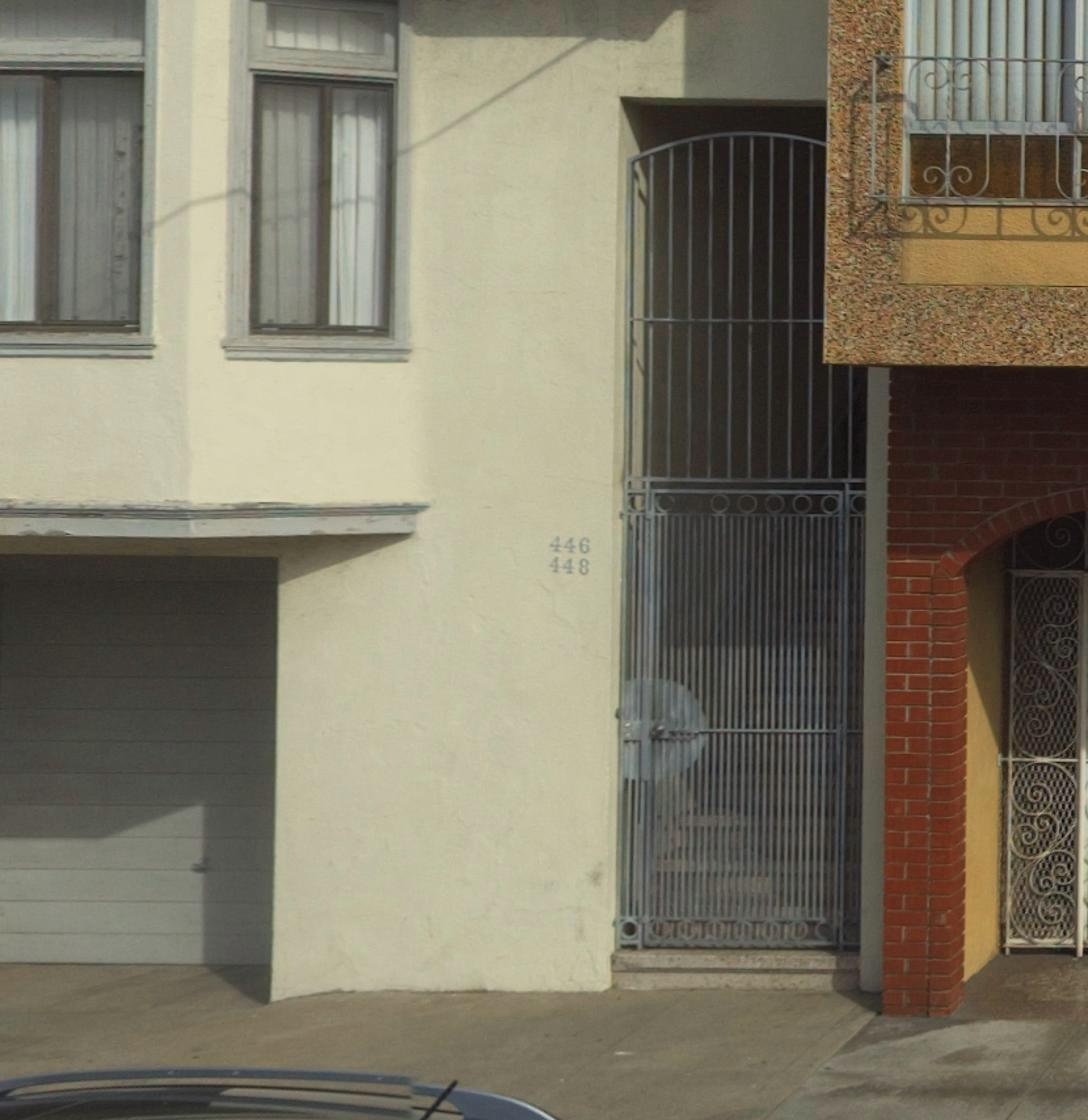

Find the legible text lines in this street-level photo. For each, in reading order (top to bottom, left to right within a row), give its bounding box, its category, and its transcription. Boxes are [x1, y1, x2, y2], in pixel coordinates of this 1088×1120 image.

[548, 534, 592, 555] StreetNumber: 446
[546, 554, 591, 578] StreetNumber: 448